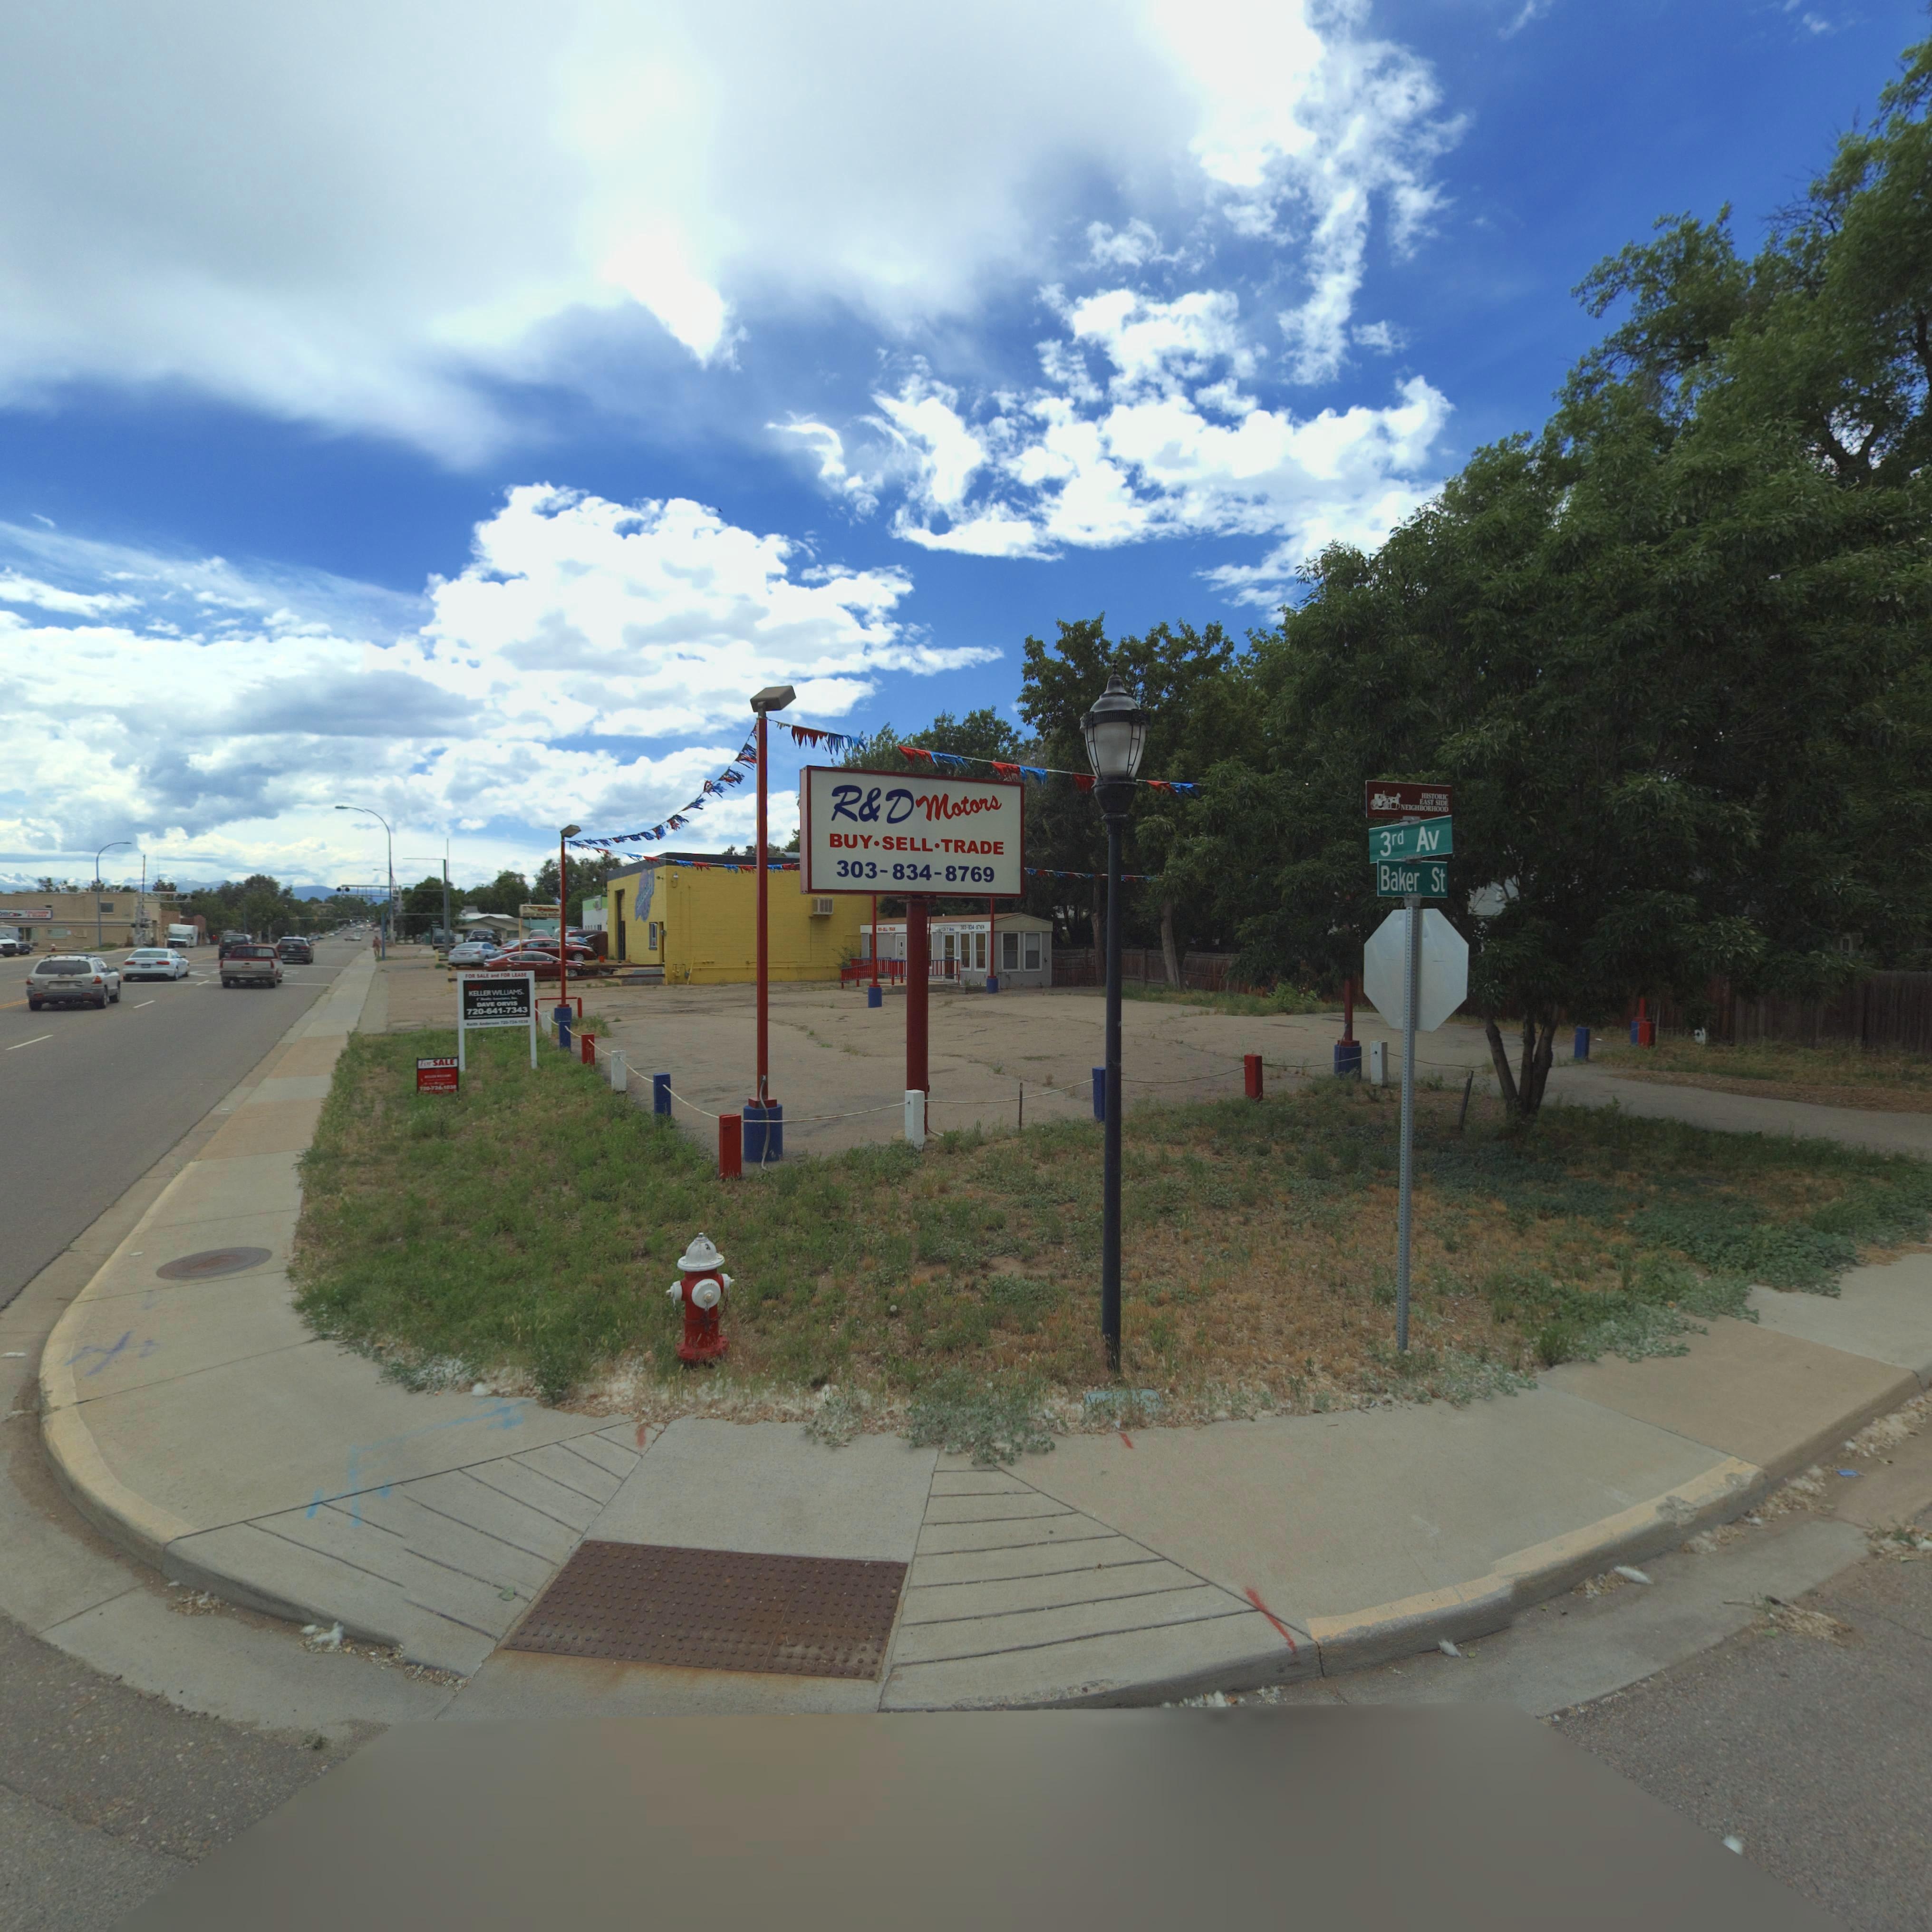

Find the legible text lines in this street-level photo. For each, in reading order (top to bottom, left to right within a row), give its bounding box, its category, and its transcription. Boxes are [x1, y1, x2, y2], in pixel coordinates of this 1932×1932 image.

[830, 784, 915, 824] BusinessName: R&D
[915, 792, 1002, 822] BusinessName: Motors
[1379, 825, 1439, 857] StreetName: 3rd Av
[1380, 864, 1445, 893] StreetName: Baker St
[940, 927, 946, 931] StreetNumber: 12*